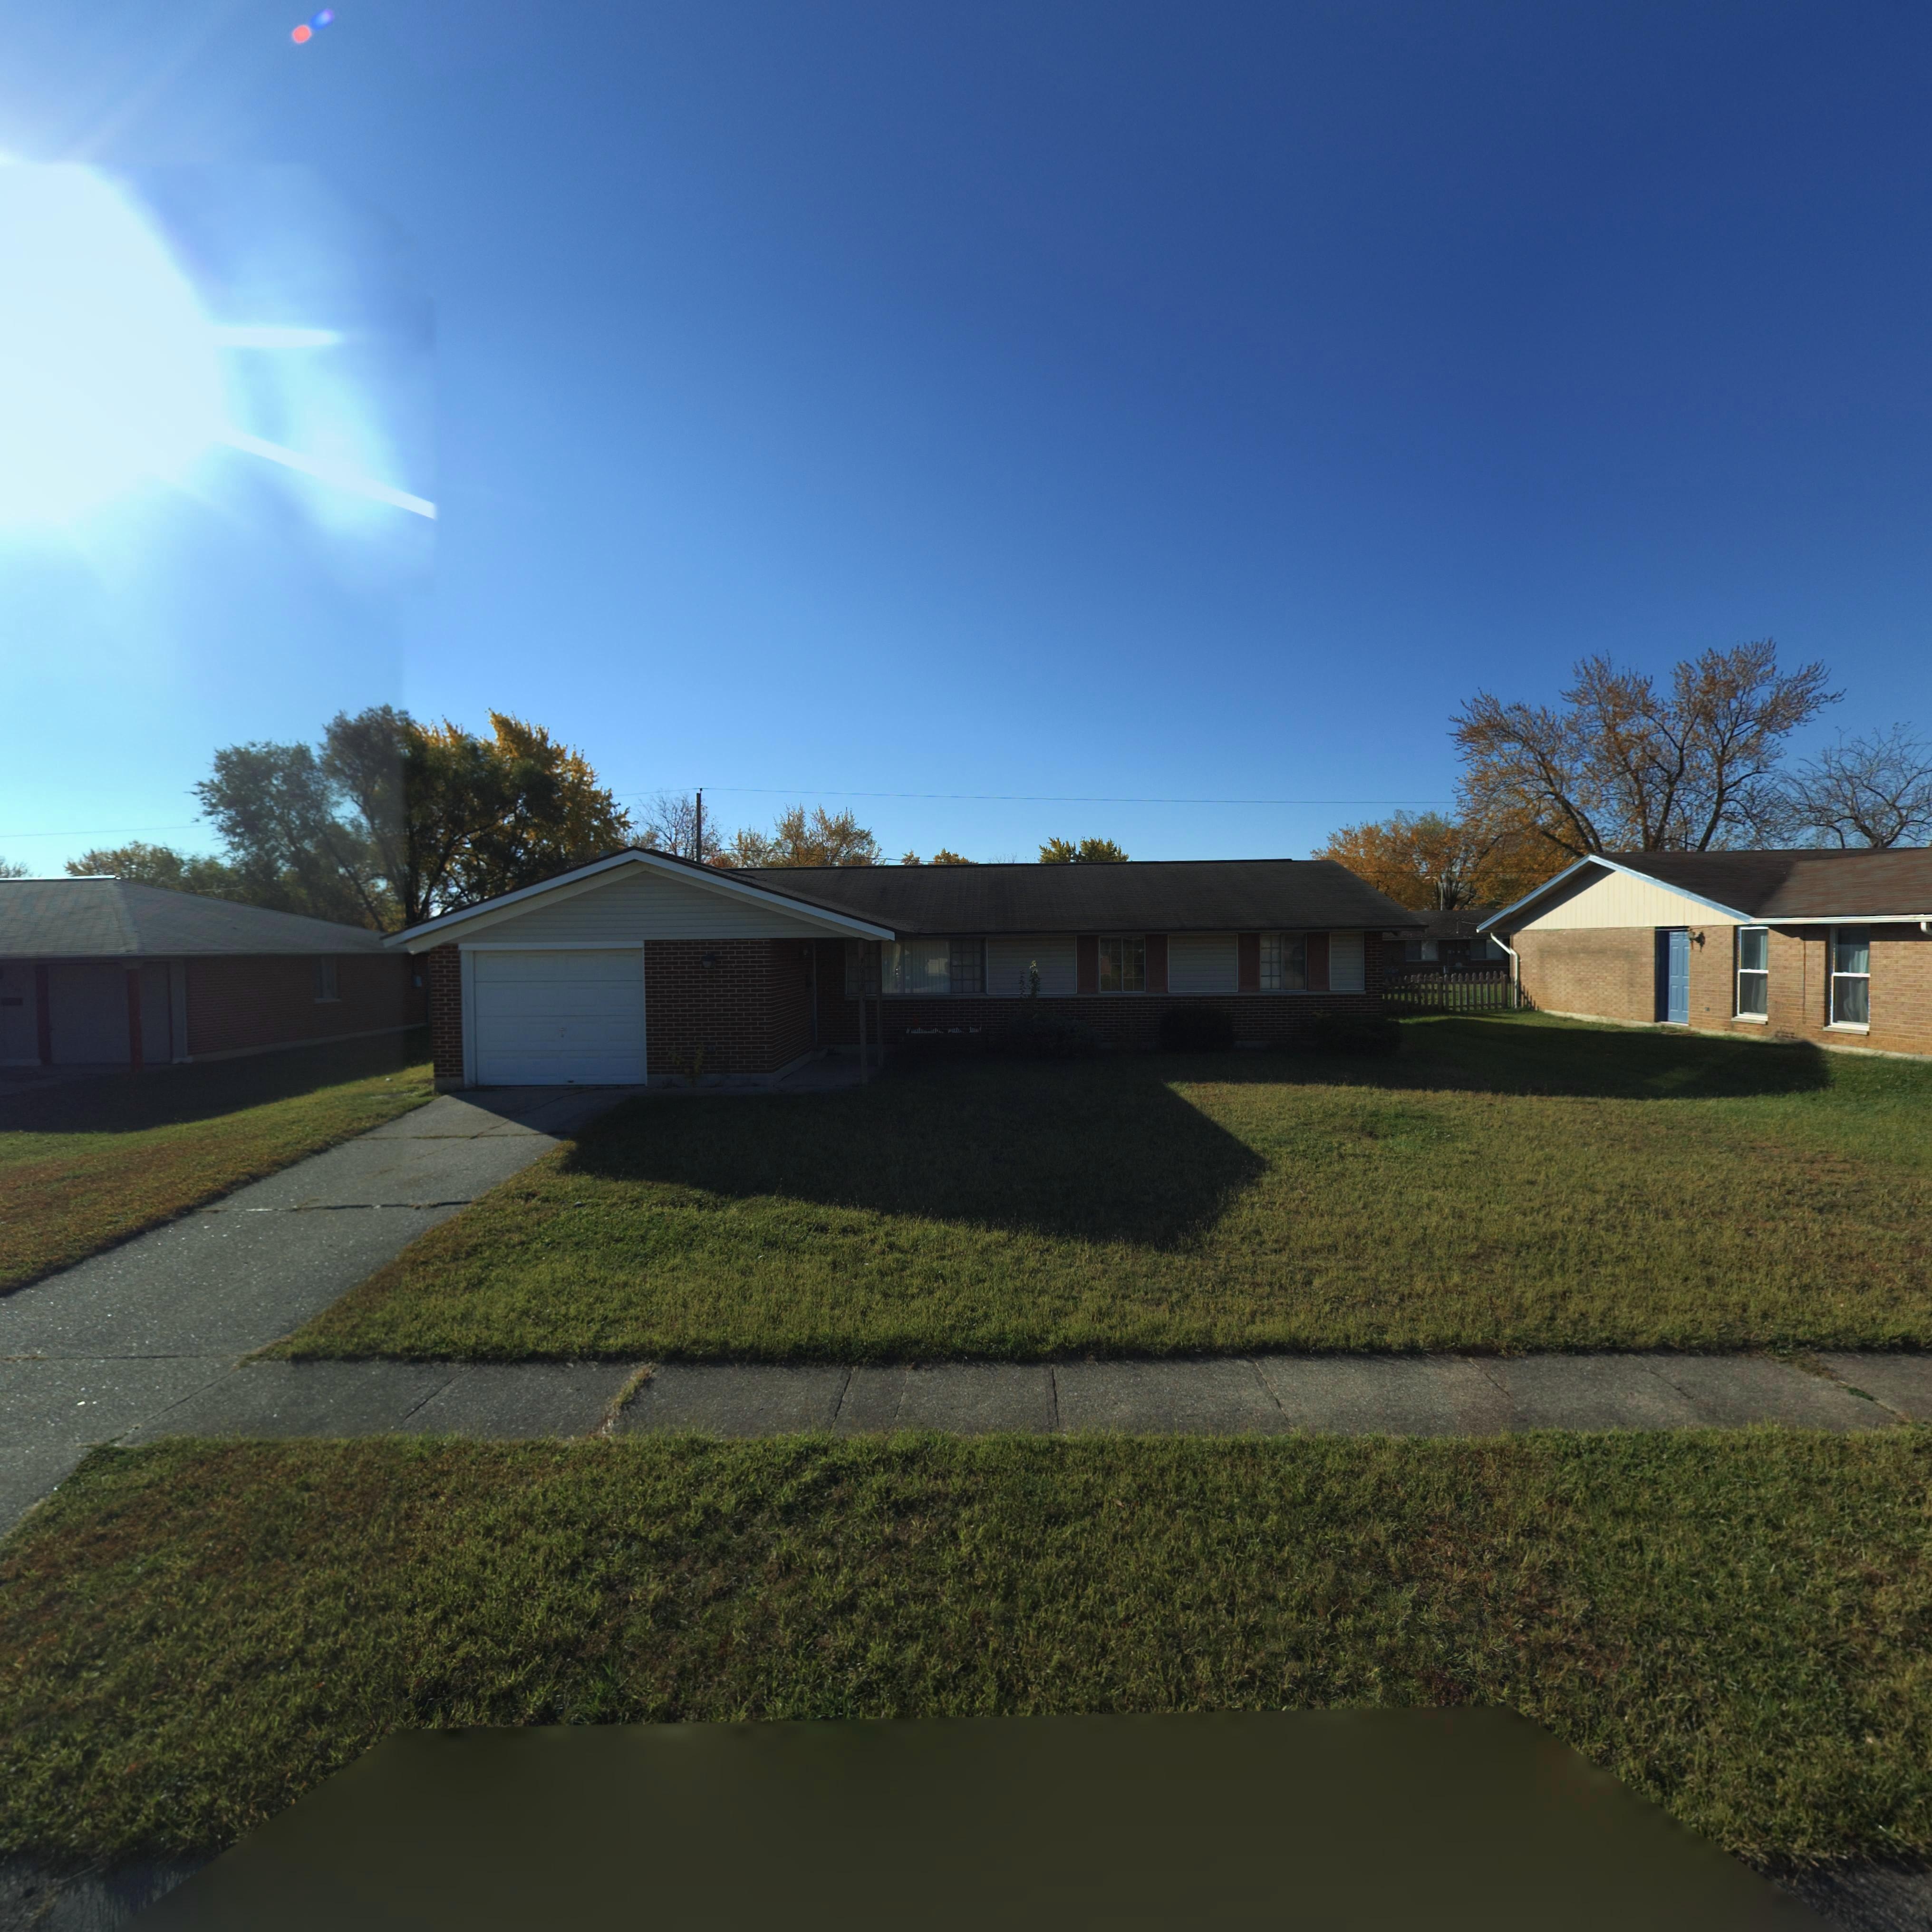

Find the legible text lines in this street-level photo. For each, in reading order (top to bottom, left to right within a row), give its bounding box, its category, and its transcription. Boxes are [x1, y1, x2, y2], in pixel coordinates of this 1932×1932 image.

[857, 959, 866, 993] StreetNumber: 7942